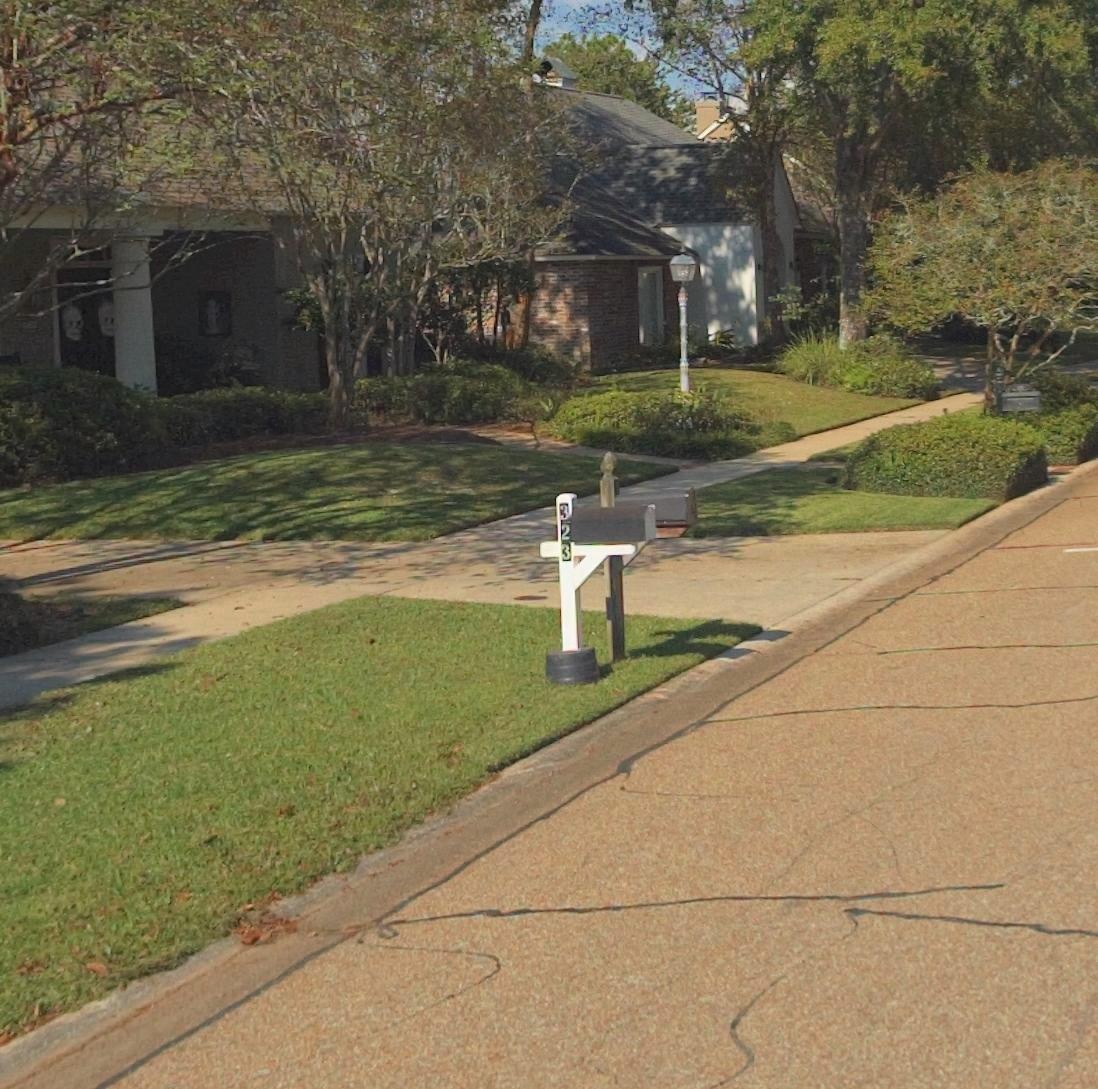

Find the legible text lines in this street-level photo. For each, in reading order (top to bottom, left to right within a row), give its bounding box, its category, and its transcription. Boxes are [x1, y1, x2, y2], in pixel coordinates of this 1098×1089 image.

[560, 504, 570, 561] StreetNumber: 323